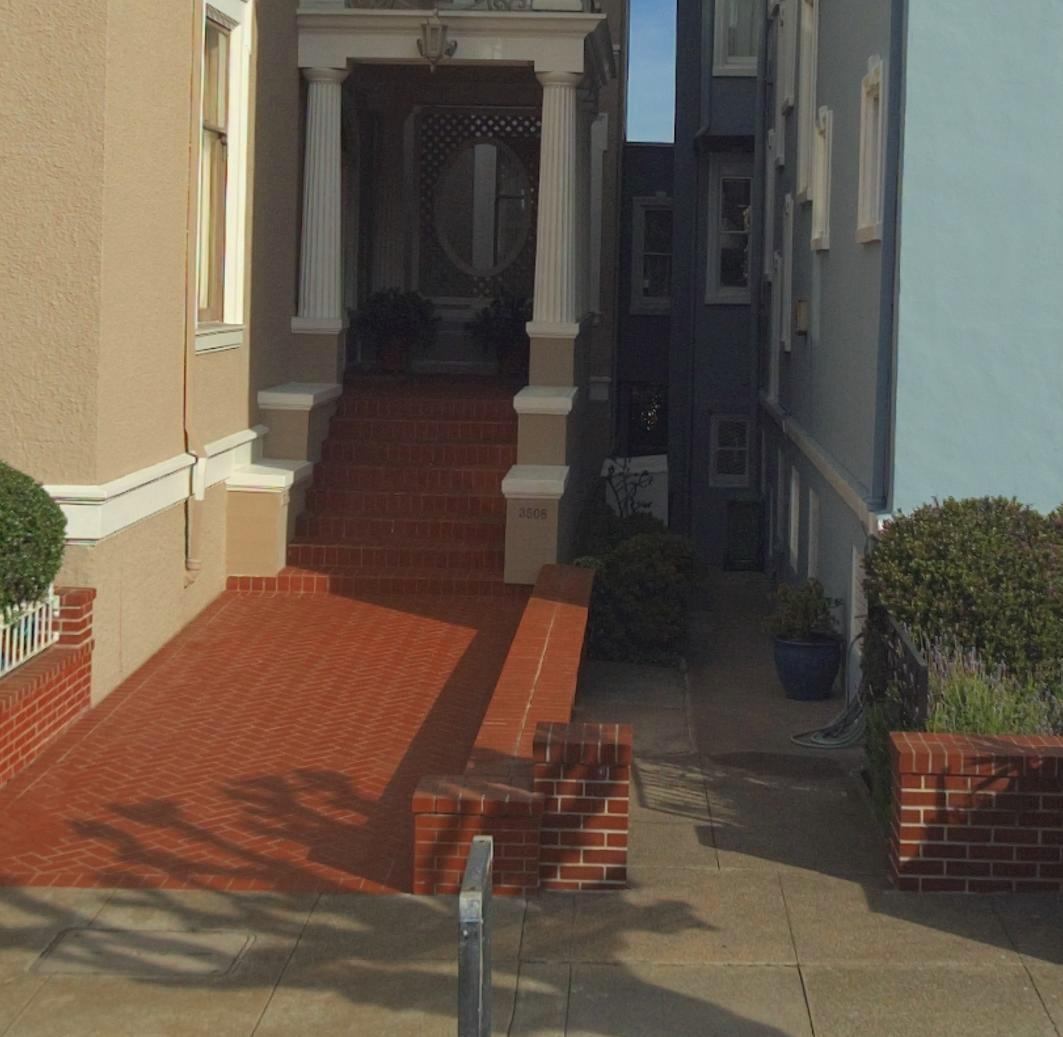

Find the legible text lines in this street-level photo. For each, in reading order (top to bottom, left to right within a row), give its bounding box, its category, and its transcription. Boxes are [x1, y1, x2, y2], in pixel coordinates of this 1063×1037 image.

[517, 504, 549, 522] StreetNumber: 3508